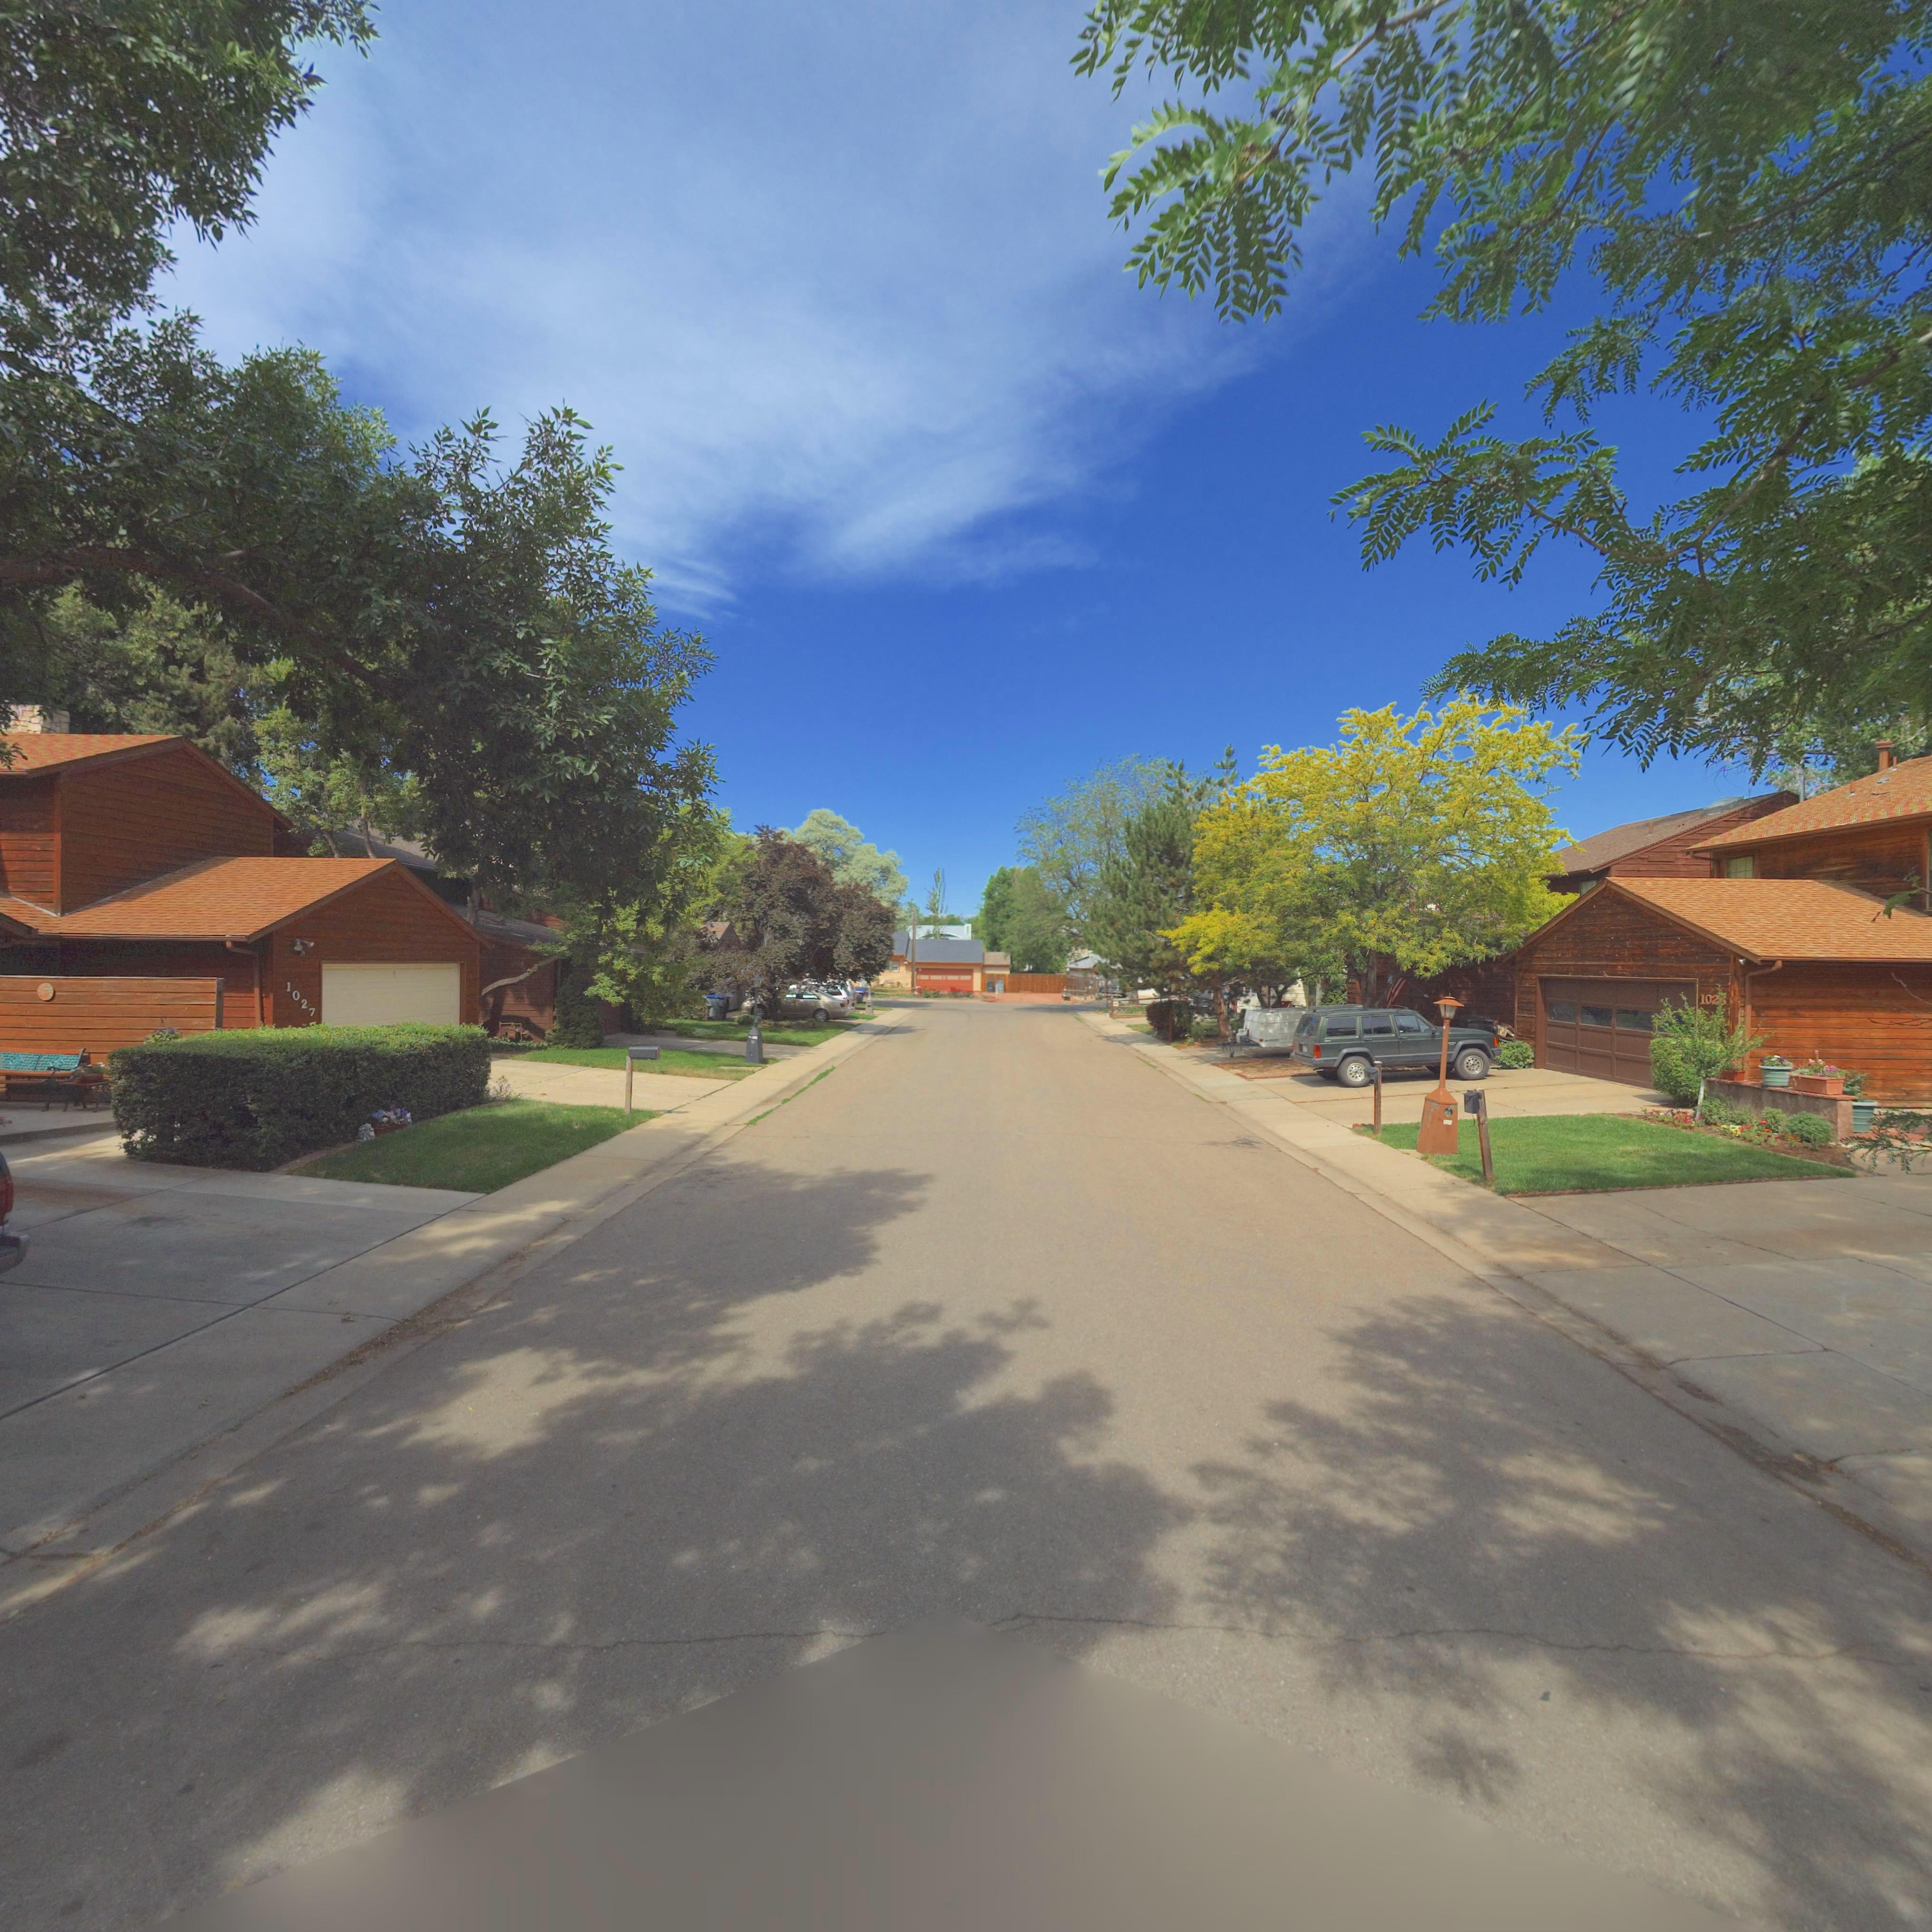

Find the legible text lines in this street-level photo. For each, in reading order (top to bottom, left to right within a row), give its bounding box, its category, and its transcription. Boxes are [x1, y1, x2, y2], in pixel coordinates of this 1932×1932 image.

[286, 981, 316, 1017] StreetNumber: 1027
[1700, 994, 1726, 1005] StreetNumber: 102*